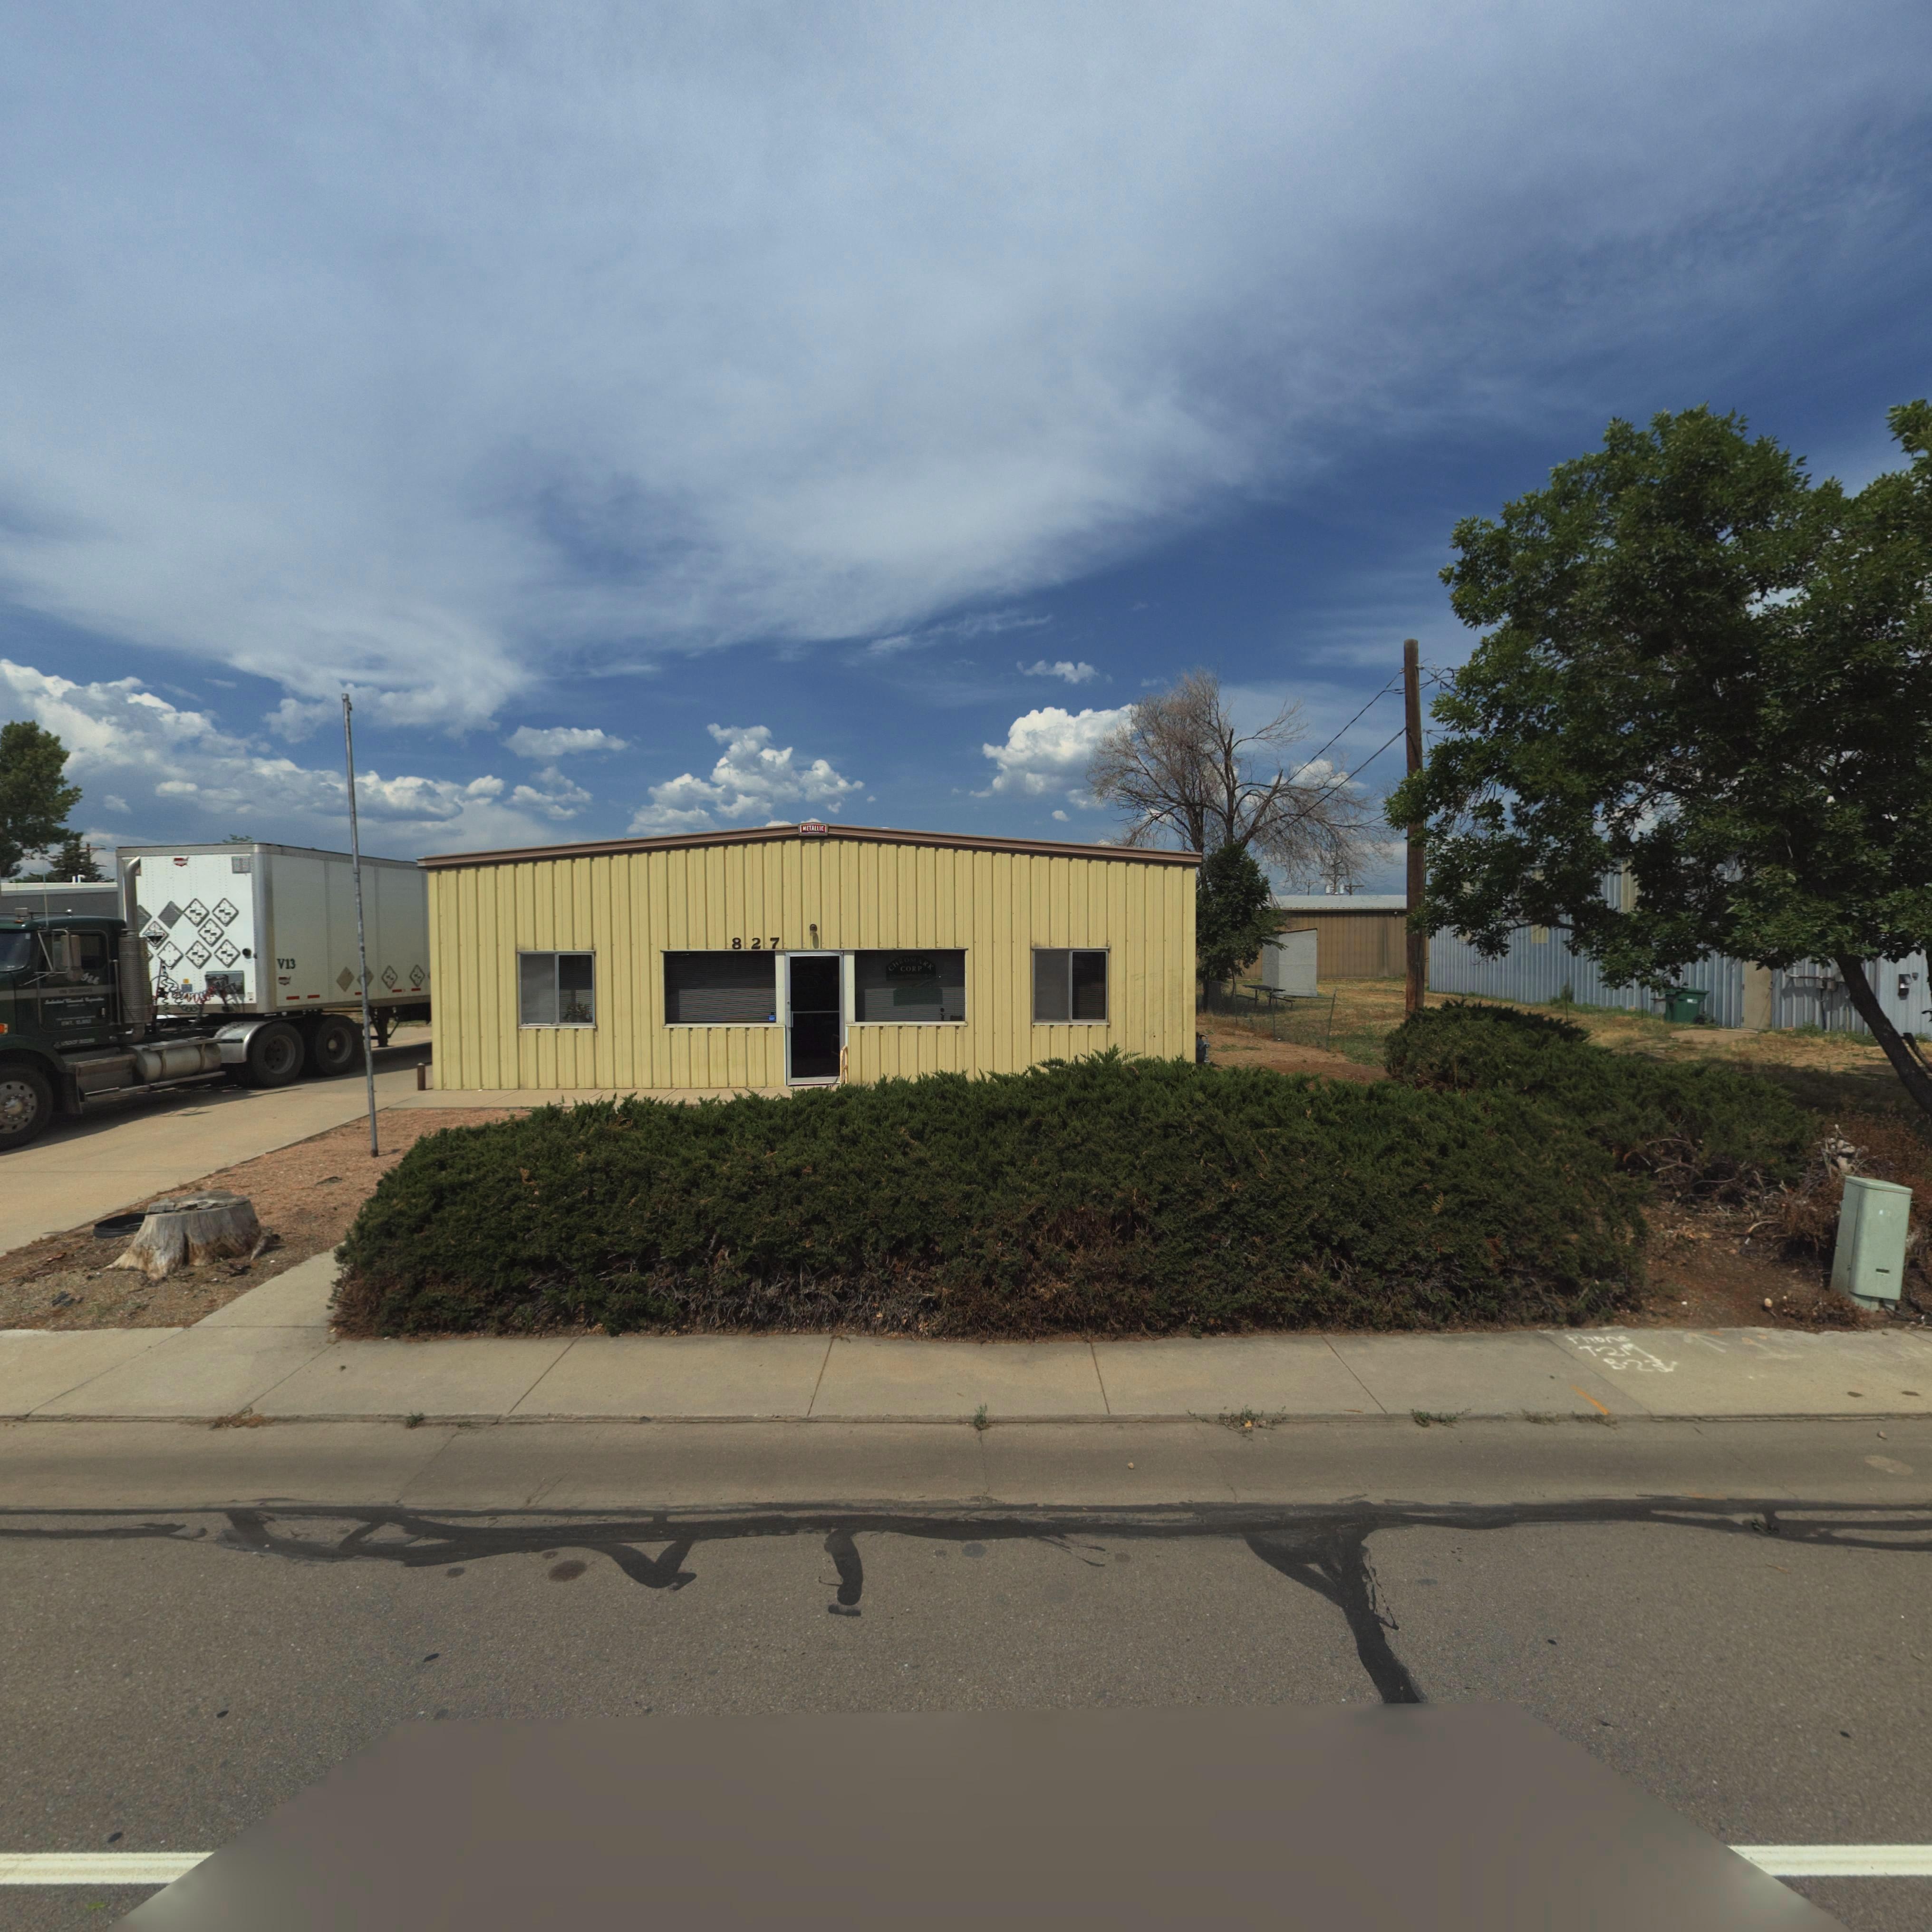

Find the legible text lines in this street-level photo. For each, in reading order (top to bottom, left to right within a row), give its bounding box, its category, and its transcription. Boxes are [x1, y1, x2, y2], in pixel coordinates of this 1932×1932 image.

[731, 937, 780, 950] StreetNumber: 827
[887, 956, 934, 972] BusinessName: CHROMARK
[900, 965, 922, 972] BusinessName: CORP